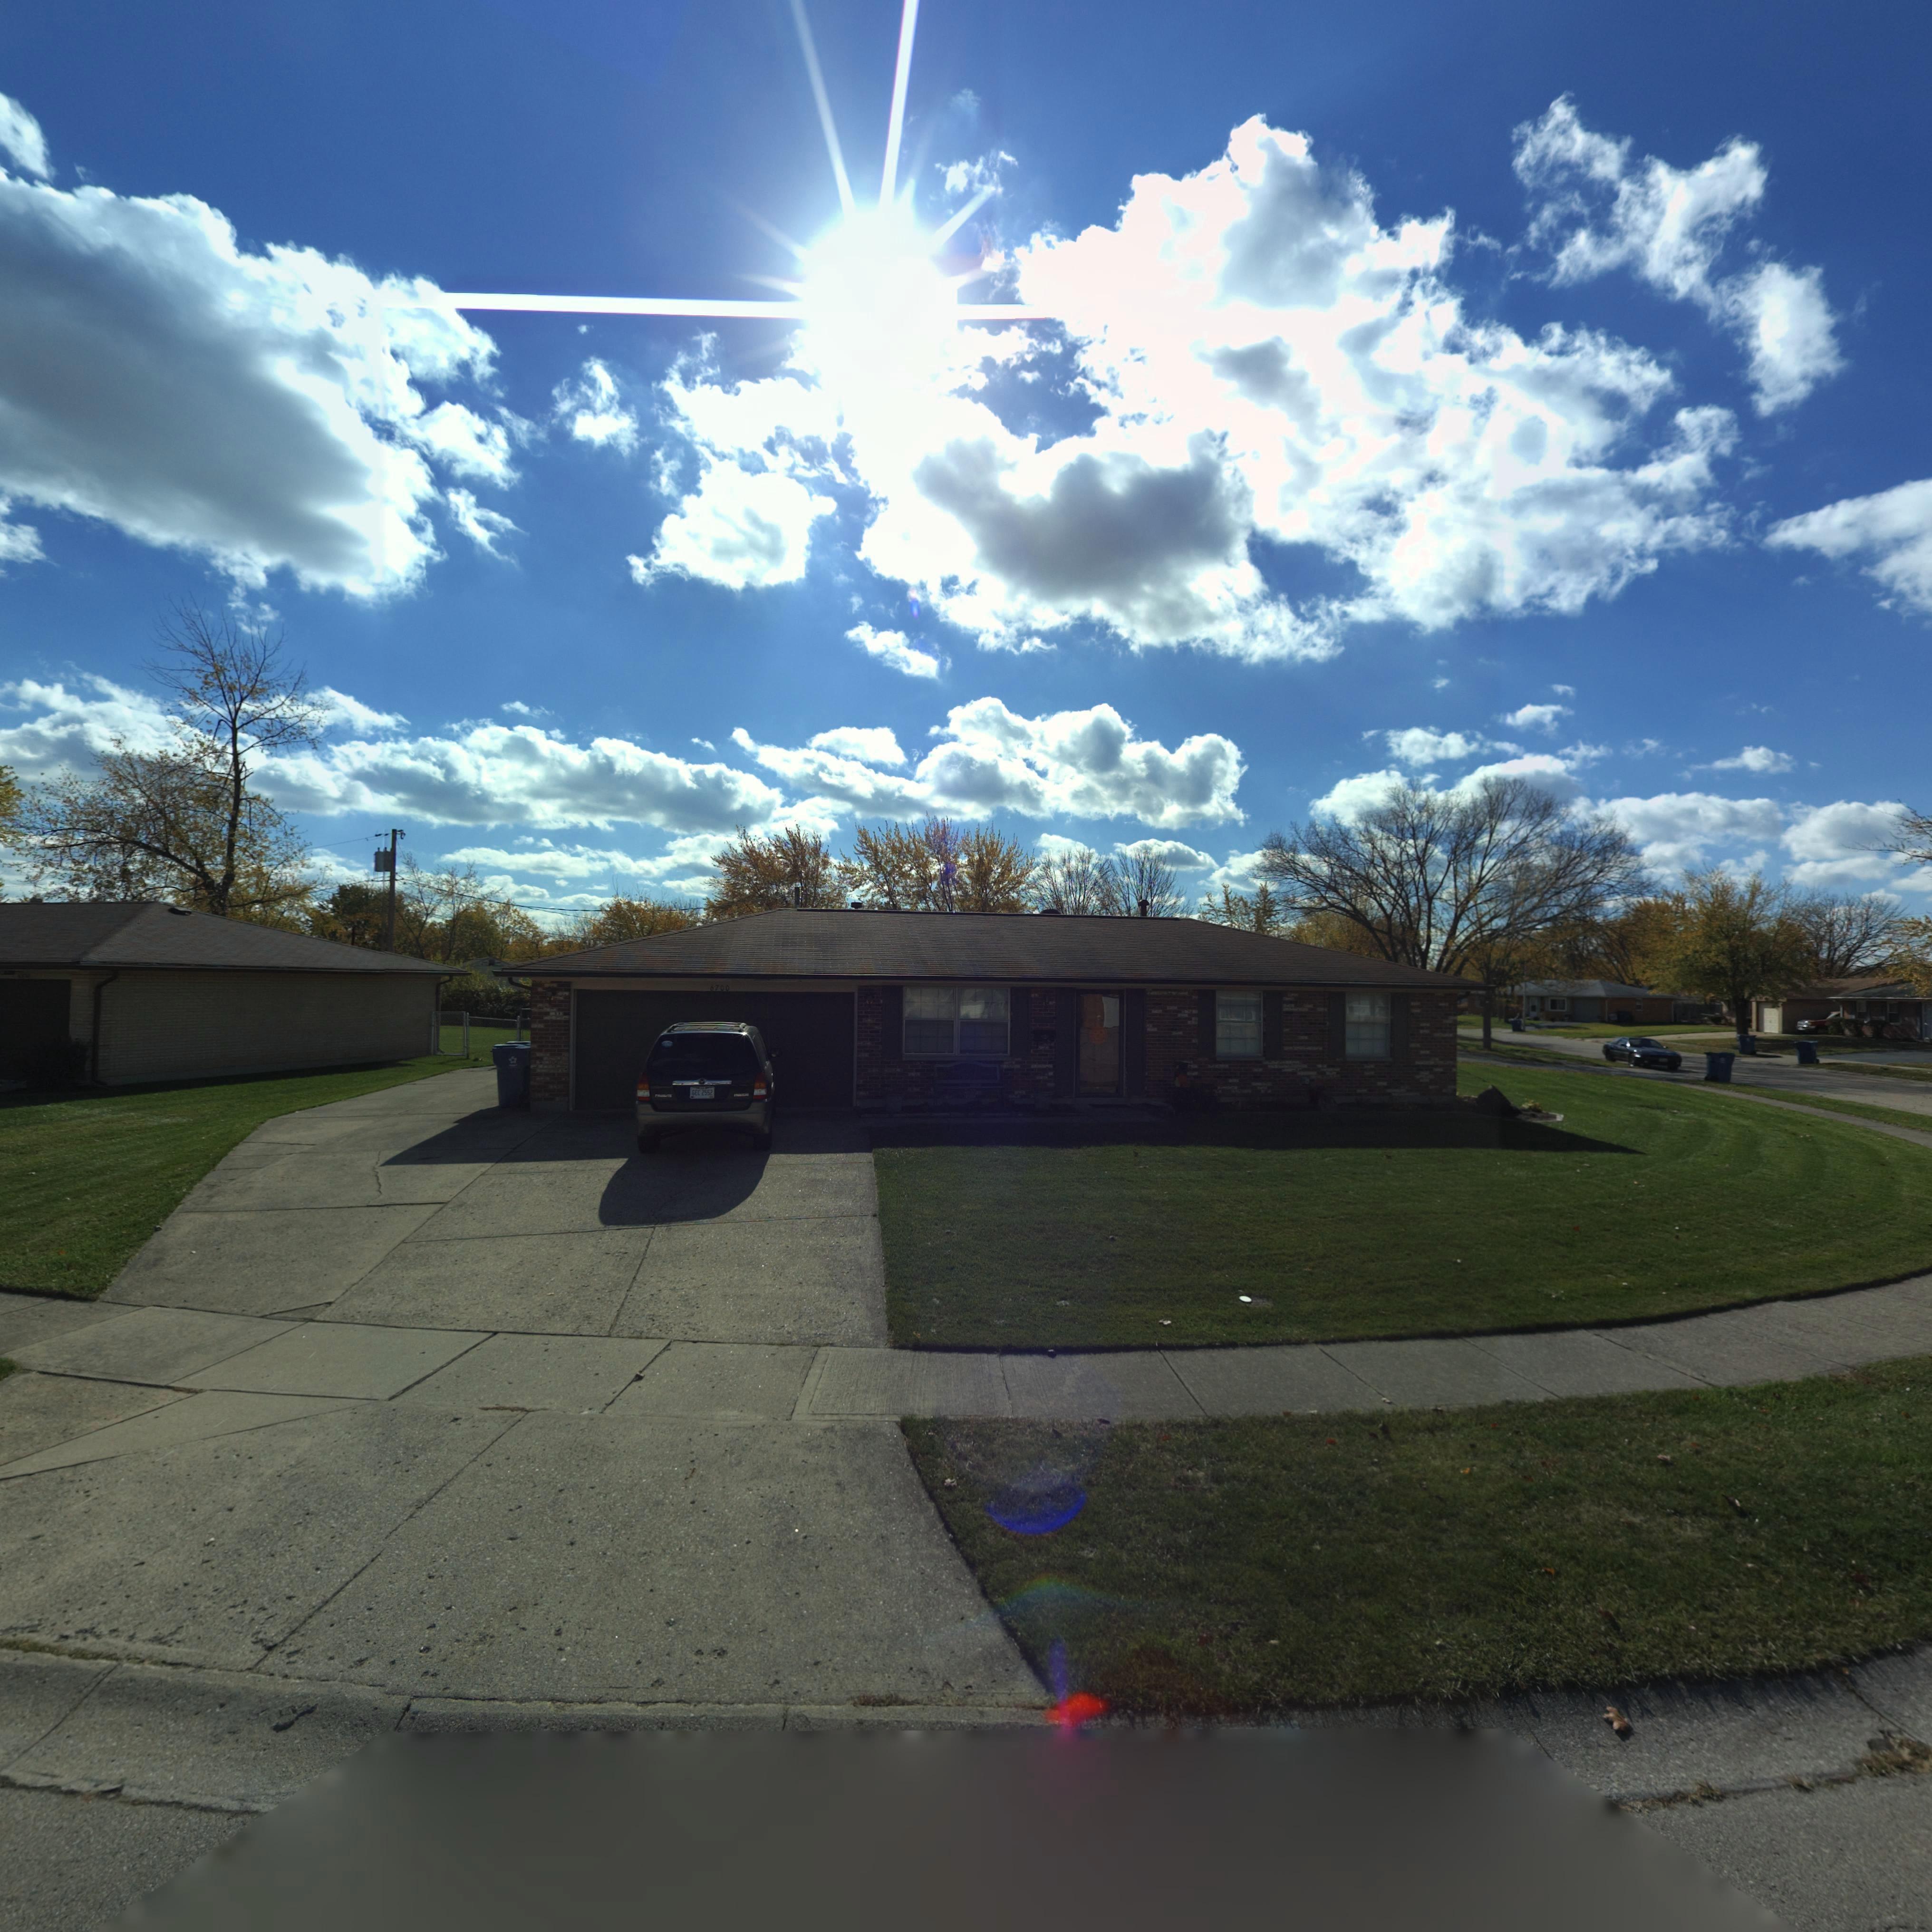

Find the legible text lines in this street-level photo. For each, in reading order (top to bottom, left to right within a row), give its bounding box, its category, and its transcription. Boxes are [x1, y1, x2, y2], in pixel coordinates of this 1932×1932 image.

[17, 973, 31, 979] StreetNumber: 6***
[710, 984, 730, 991] StreetNumber: 6700